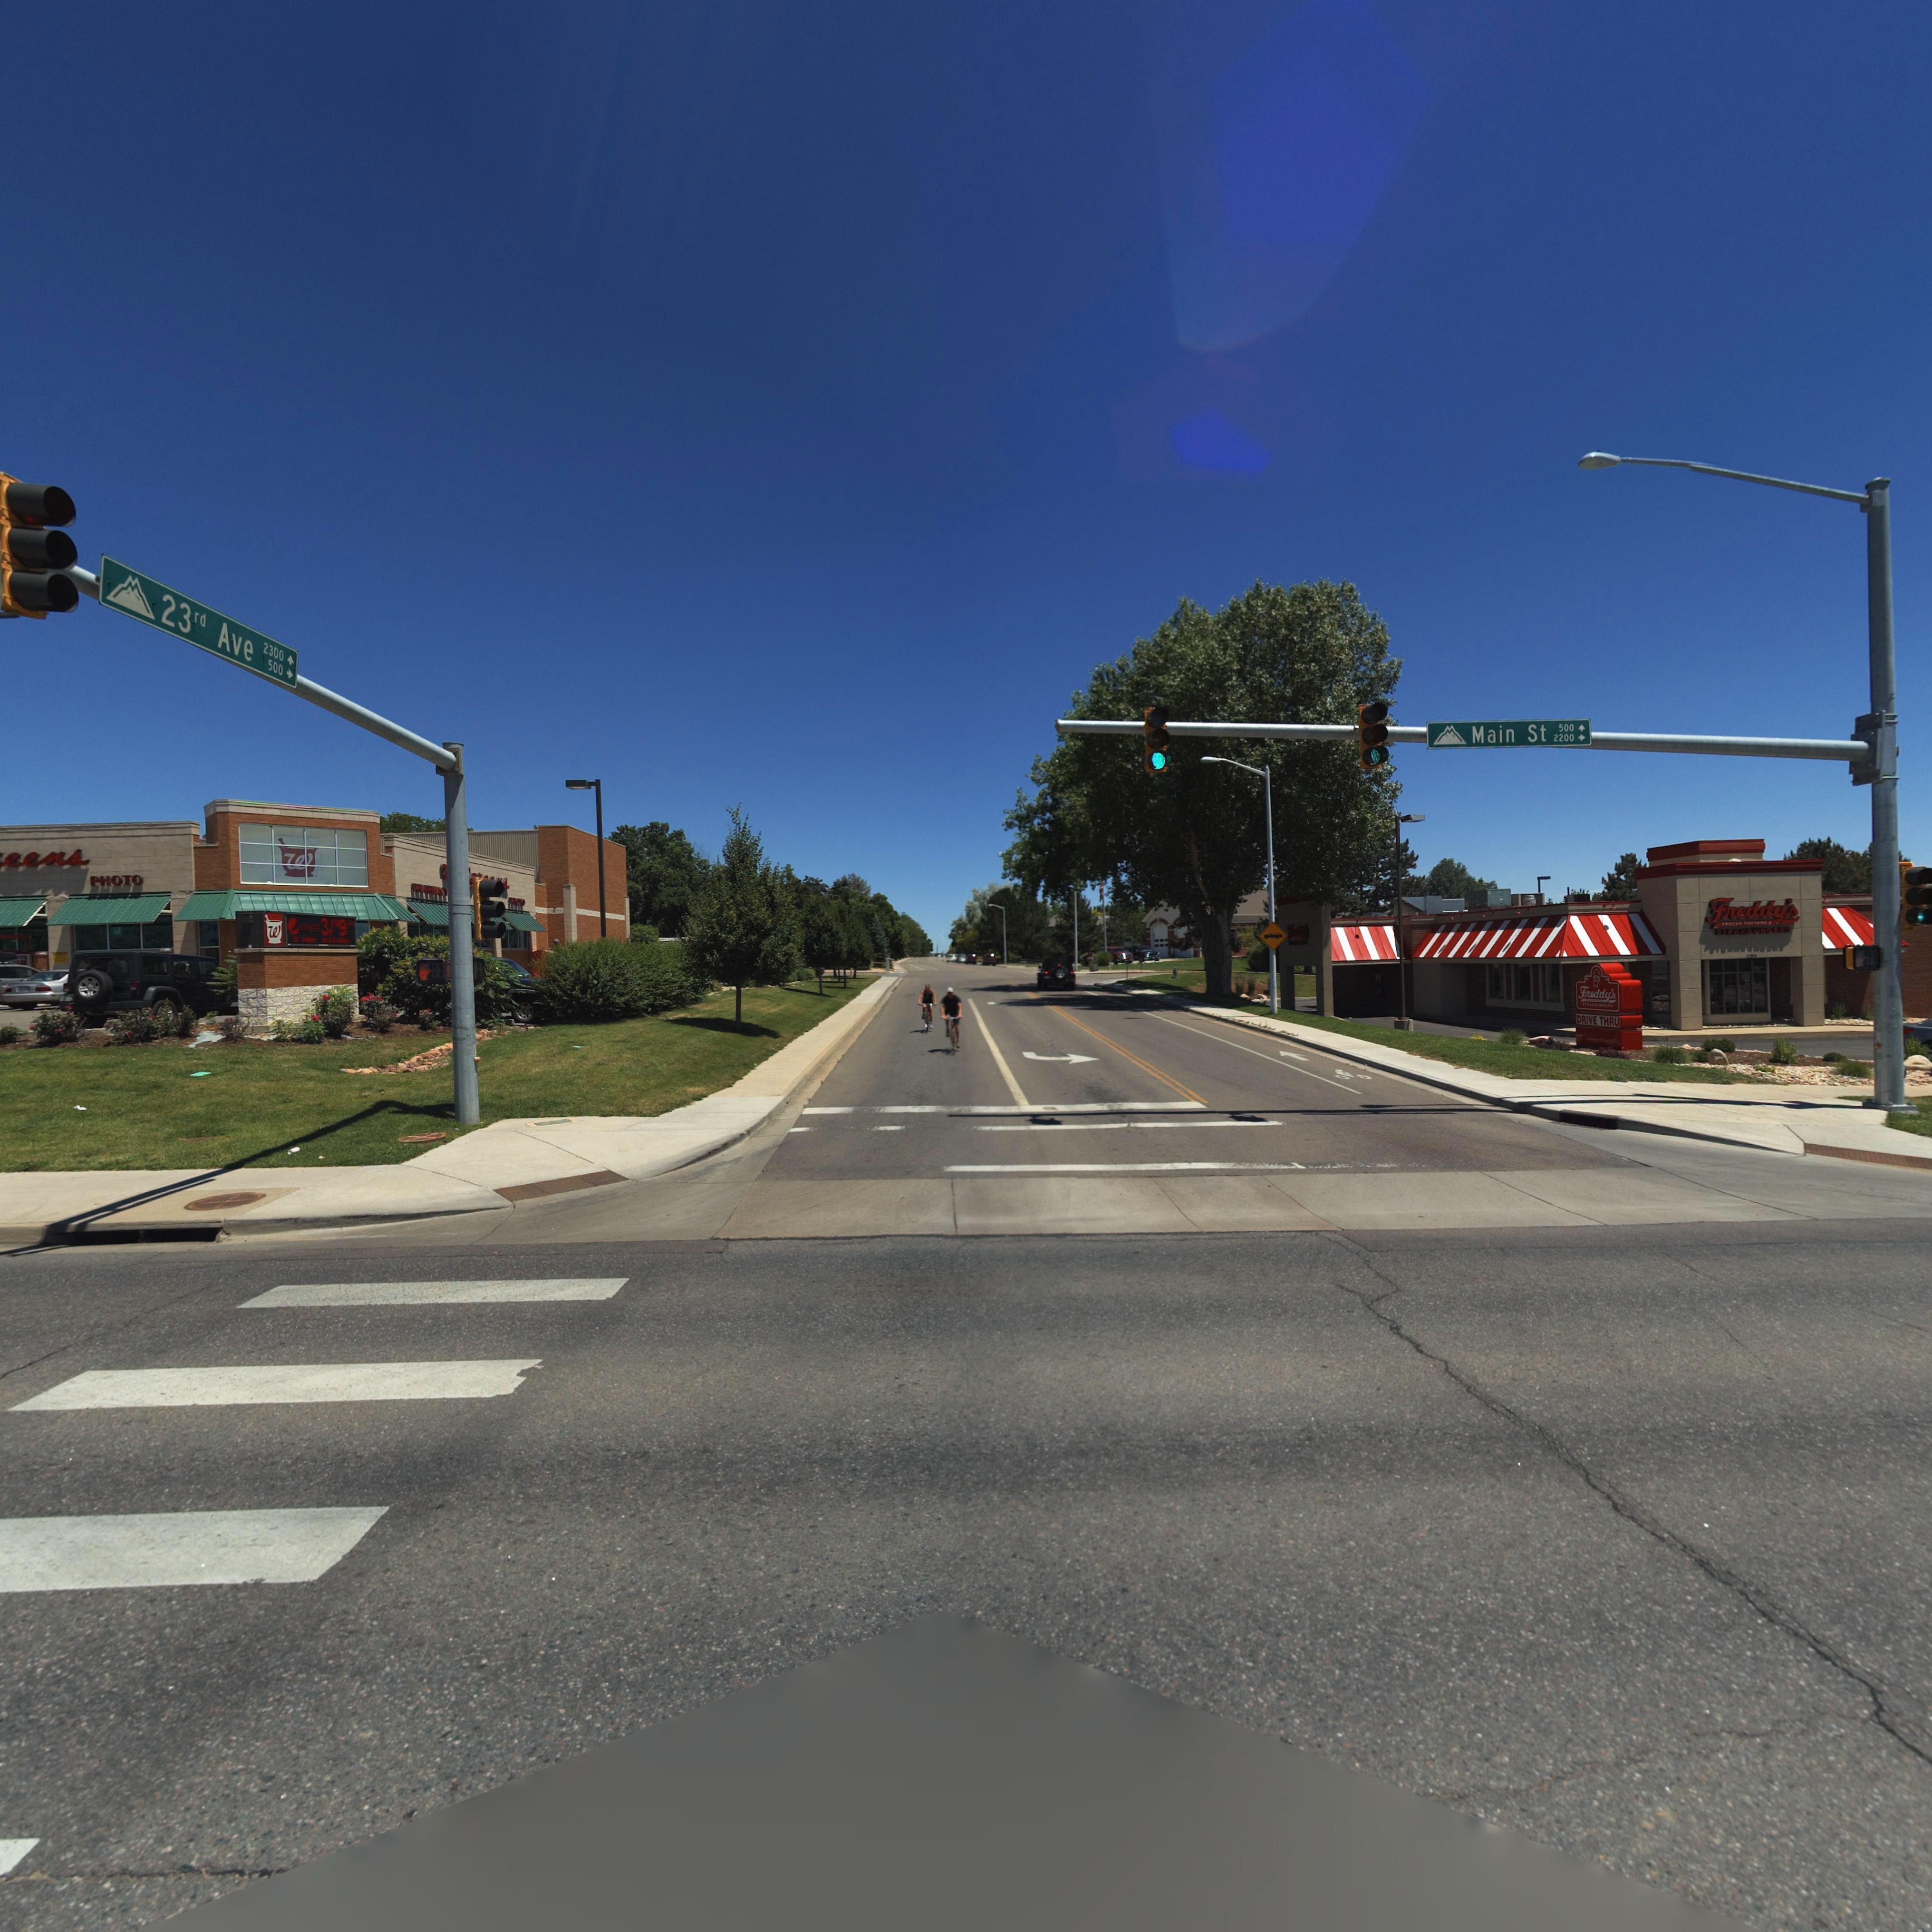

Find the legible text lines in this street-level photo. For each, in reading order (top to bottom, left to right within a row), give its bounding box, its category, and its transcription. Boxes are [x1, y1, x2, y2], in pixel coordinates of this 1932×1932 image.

[160, 593, 254, 662] StreetName: 23rd Ave
[263, 641, 284, 662] StreetNumberRange: 2300
[267, 658, 294, 679] StreetNumberRange: 500->
[1471, 724, 1546, 744] StreetName: Main St
[1558, 723, 1574, 732] StreetNumberRange: 500
[1553, 733, 1586, 742] StreetNumberRange: 2200->
[1706, 896, 1799, 926] BusinessName: Freddy's
[1721, 920, 1771, 926] BusinessName: ****** C*S**** *
[1713, 925, 1791, 936] BusinessName: *TEA*BURG***
[1578, 985, 1616, 1003] BusinessName: Freddy's
[1582, 1002, 1613, 1008] BusinessName: *T**K******S